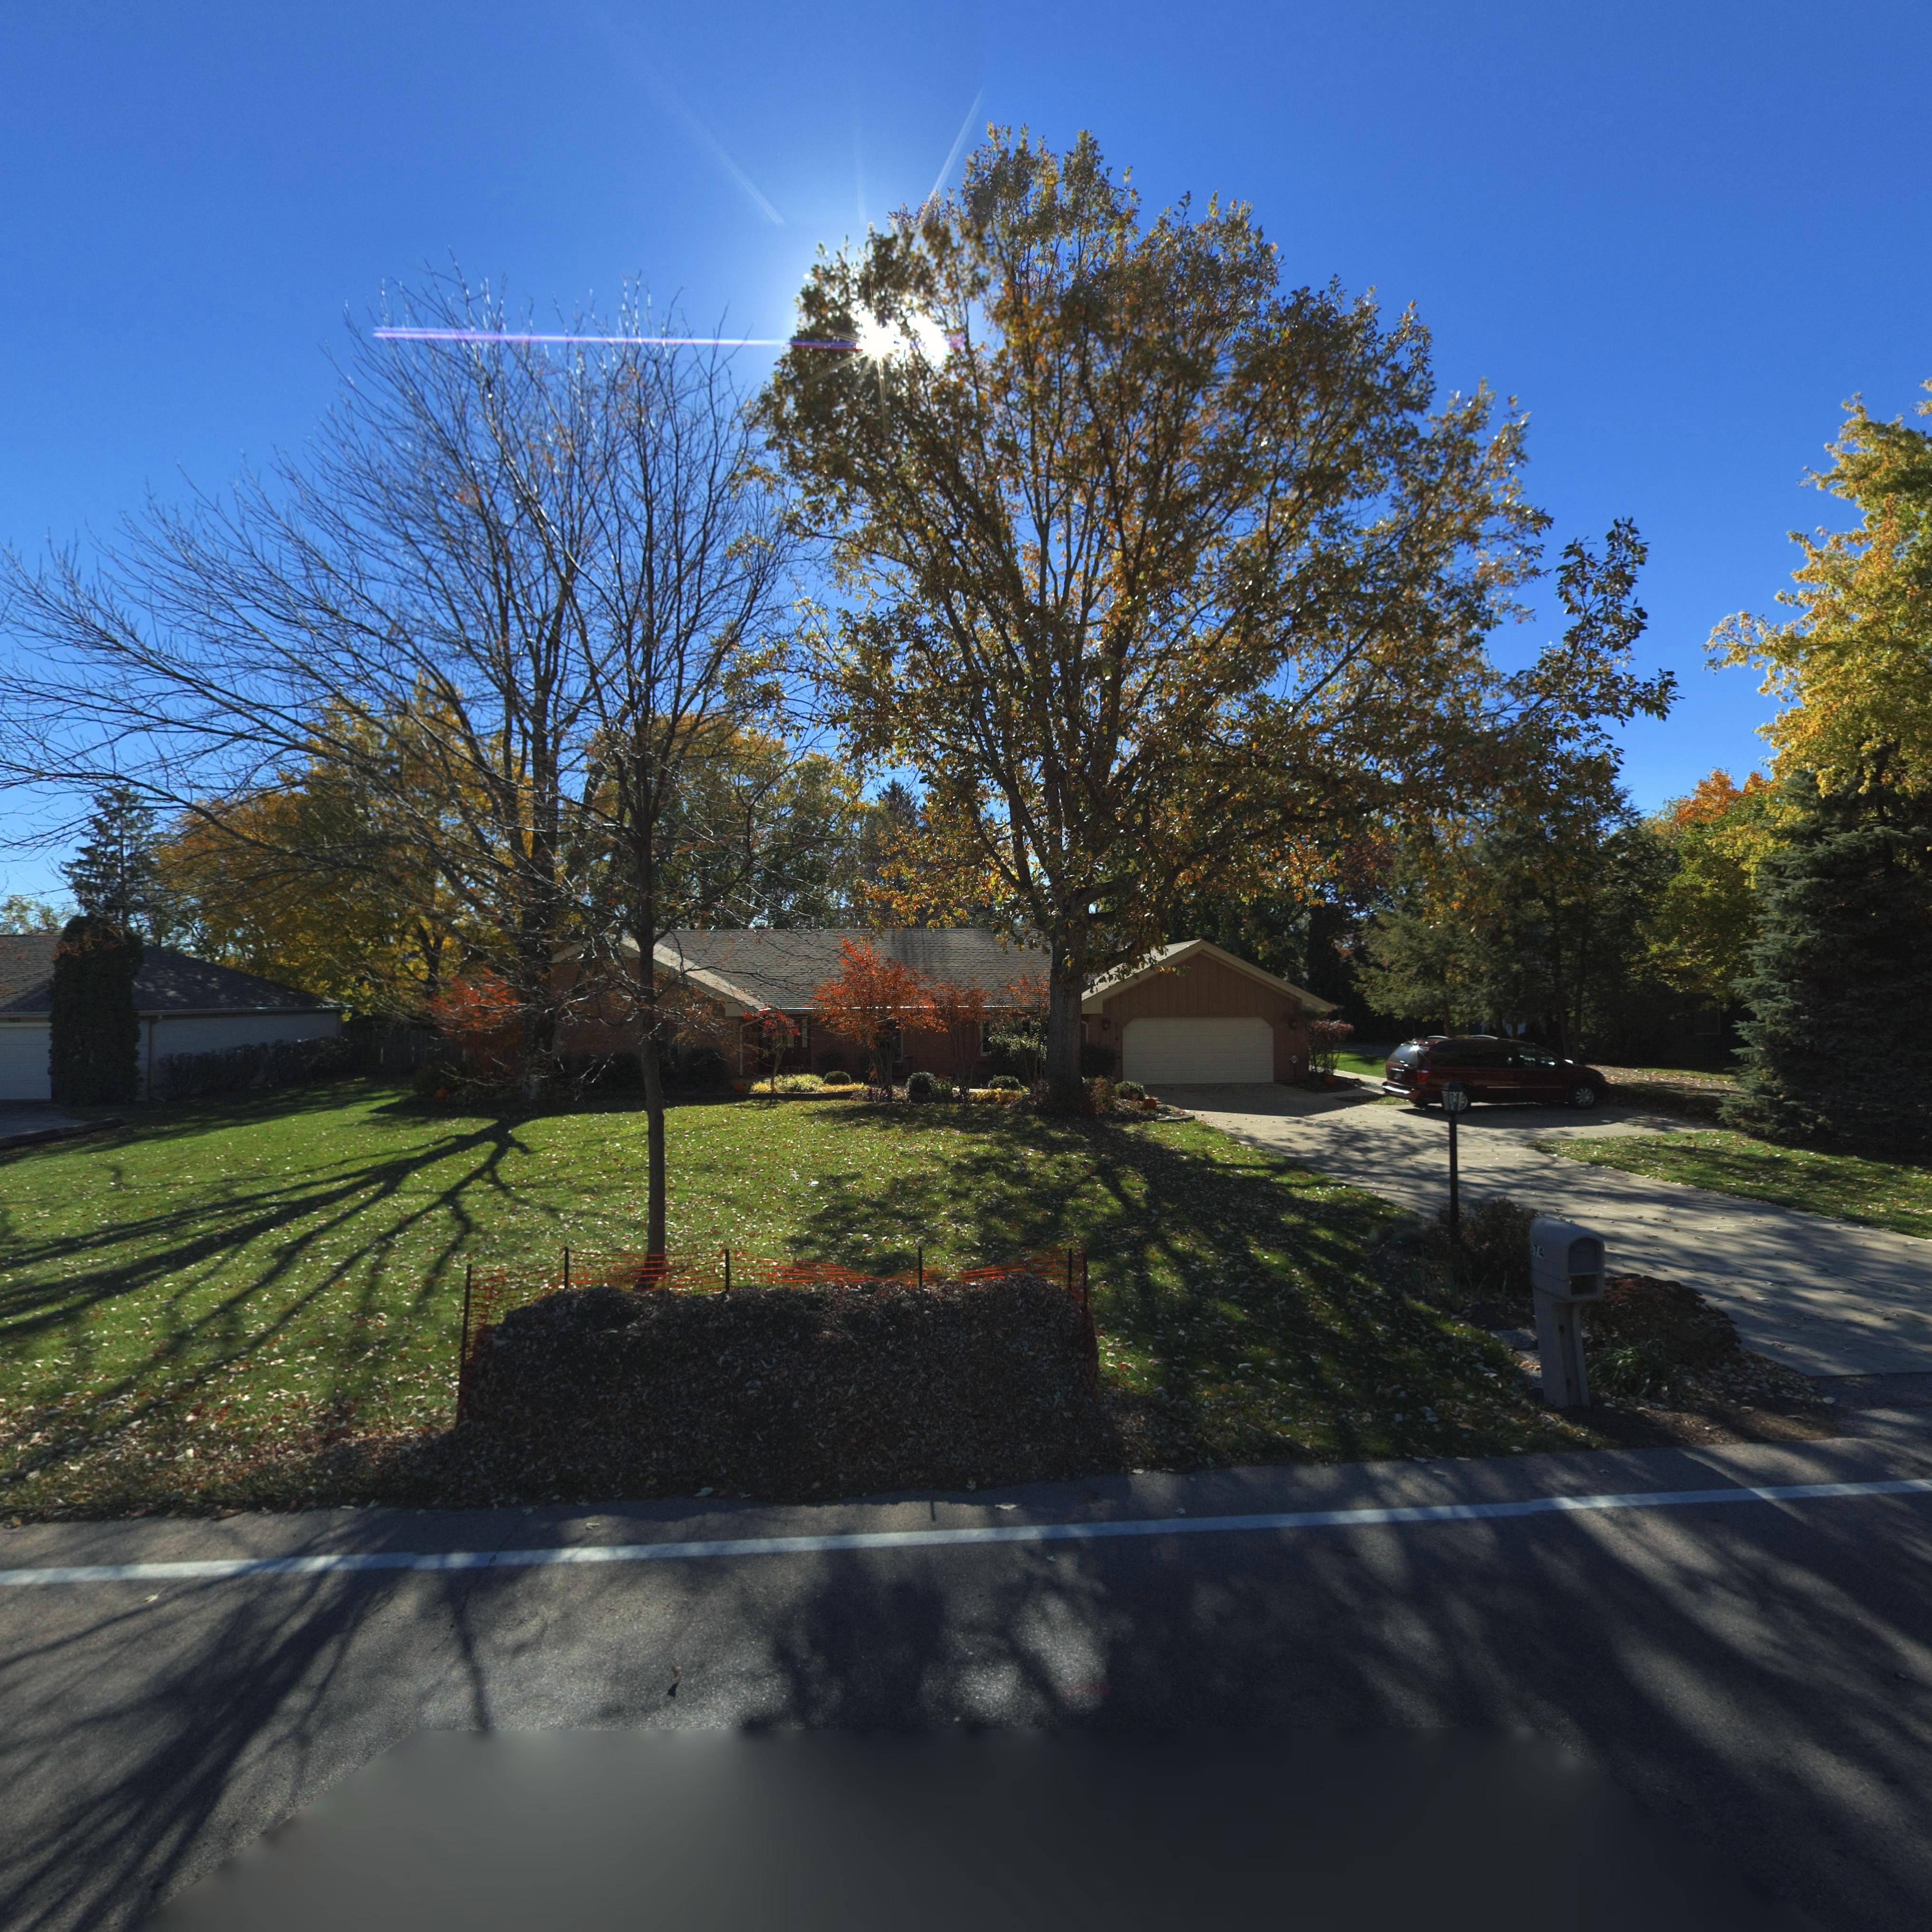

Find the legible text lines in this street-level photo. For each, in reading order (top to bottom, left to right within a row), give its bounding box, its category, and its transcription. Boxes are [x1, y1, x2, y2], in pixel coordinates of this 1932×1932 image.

[1114, 1022, 1119, 1043] StreetNumber: 574
[1529, 1241, 1545, 1259] StreetNumber: 574